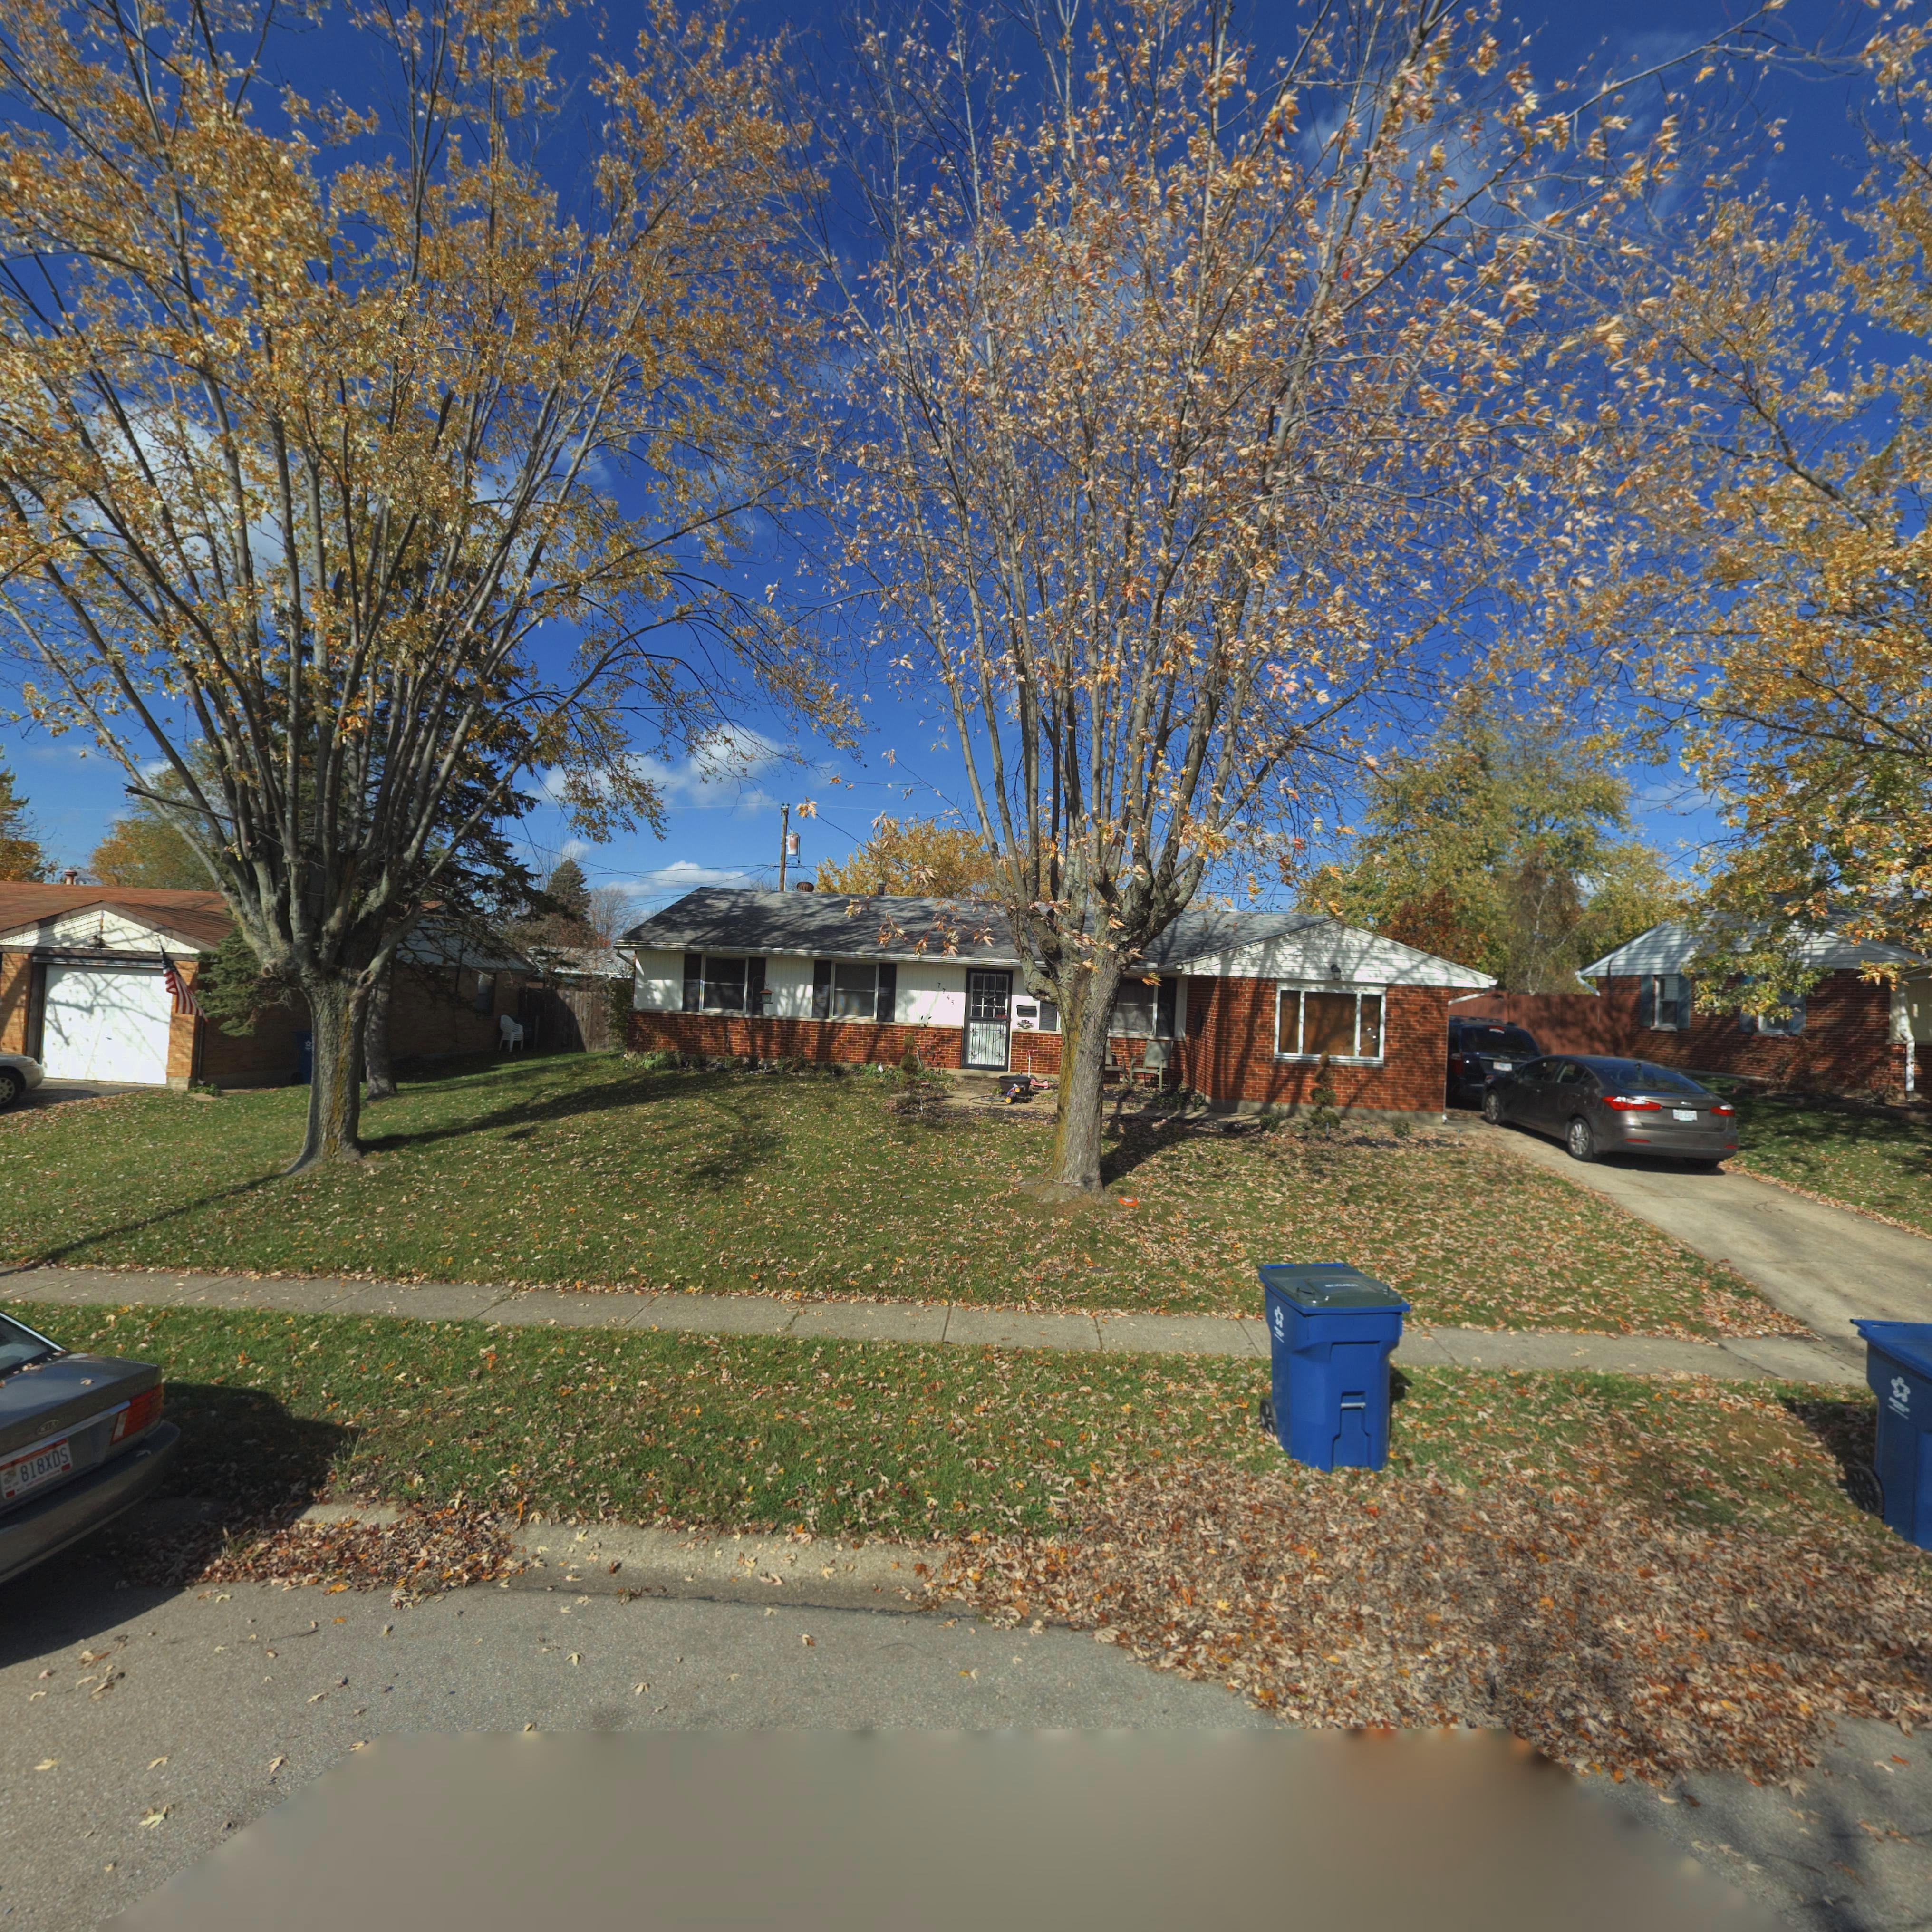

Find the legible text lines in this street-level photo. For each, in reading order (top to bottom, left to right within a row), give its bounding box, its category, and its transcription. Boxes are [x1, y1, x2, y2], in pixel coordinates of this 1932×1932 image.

[937, 982, 955, 1006] StreetNumber: 7745